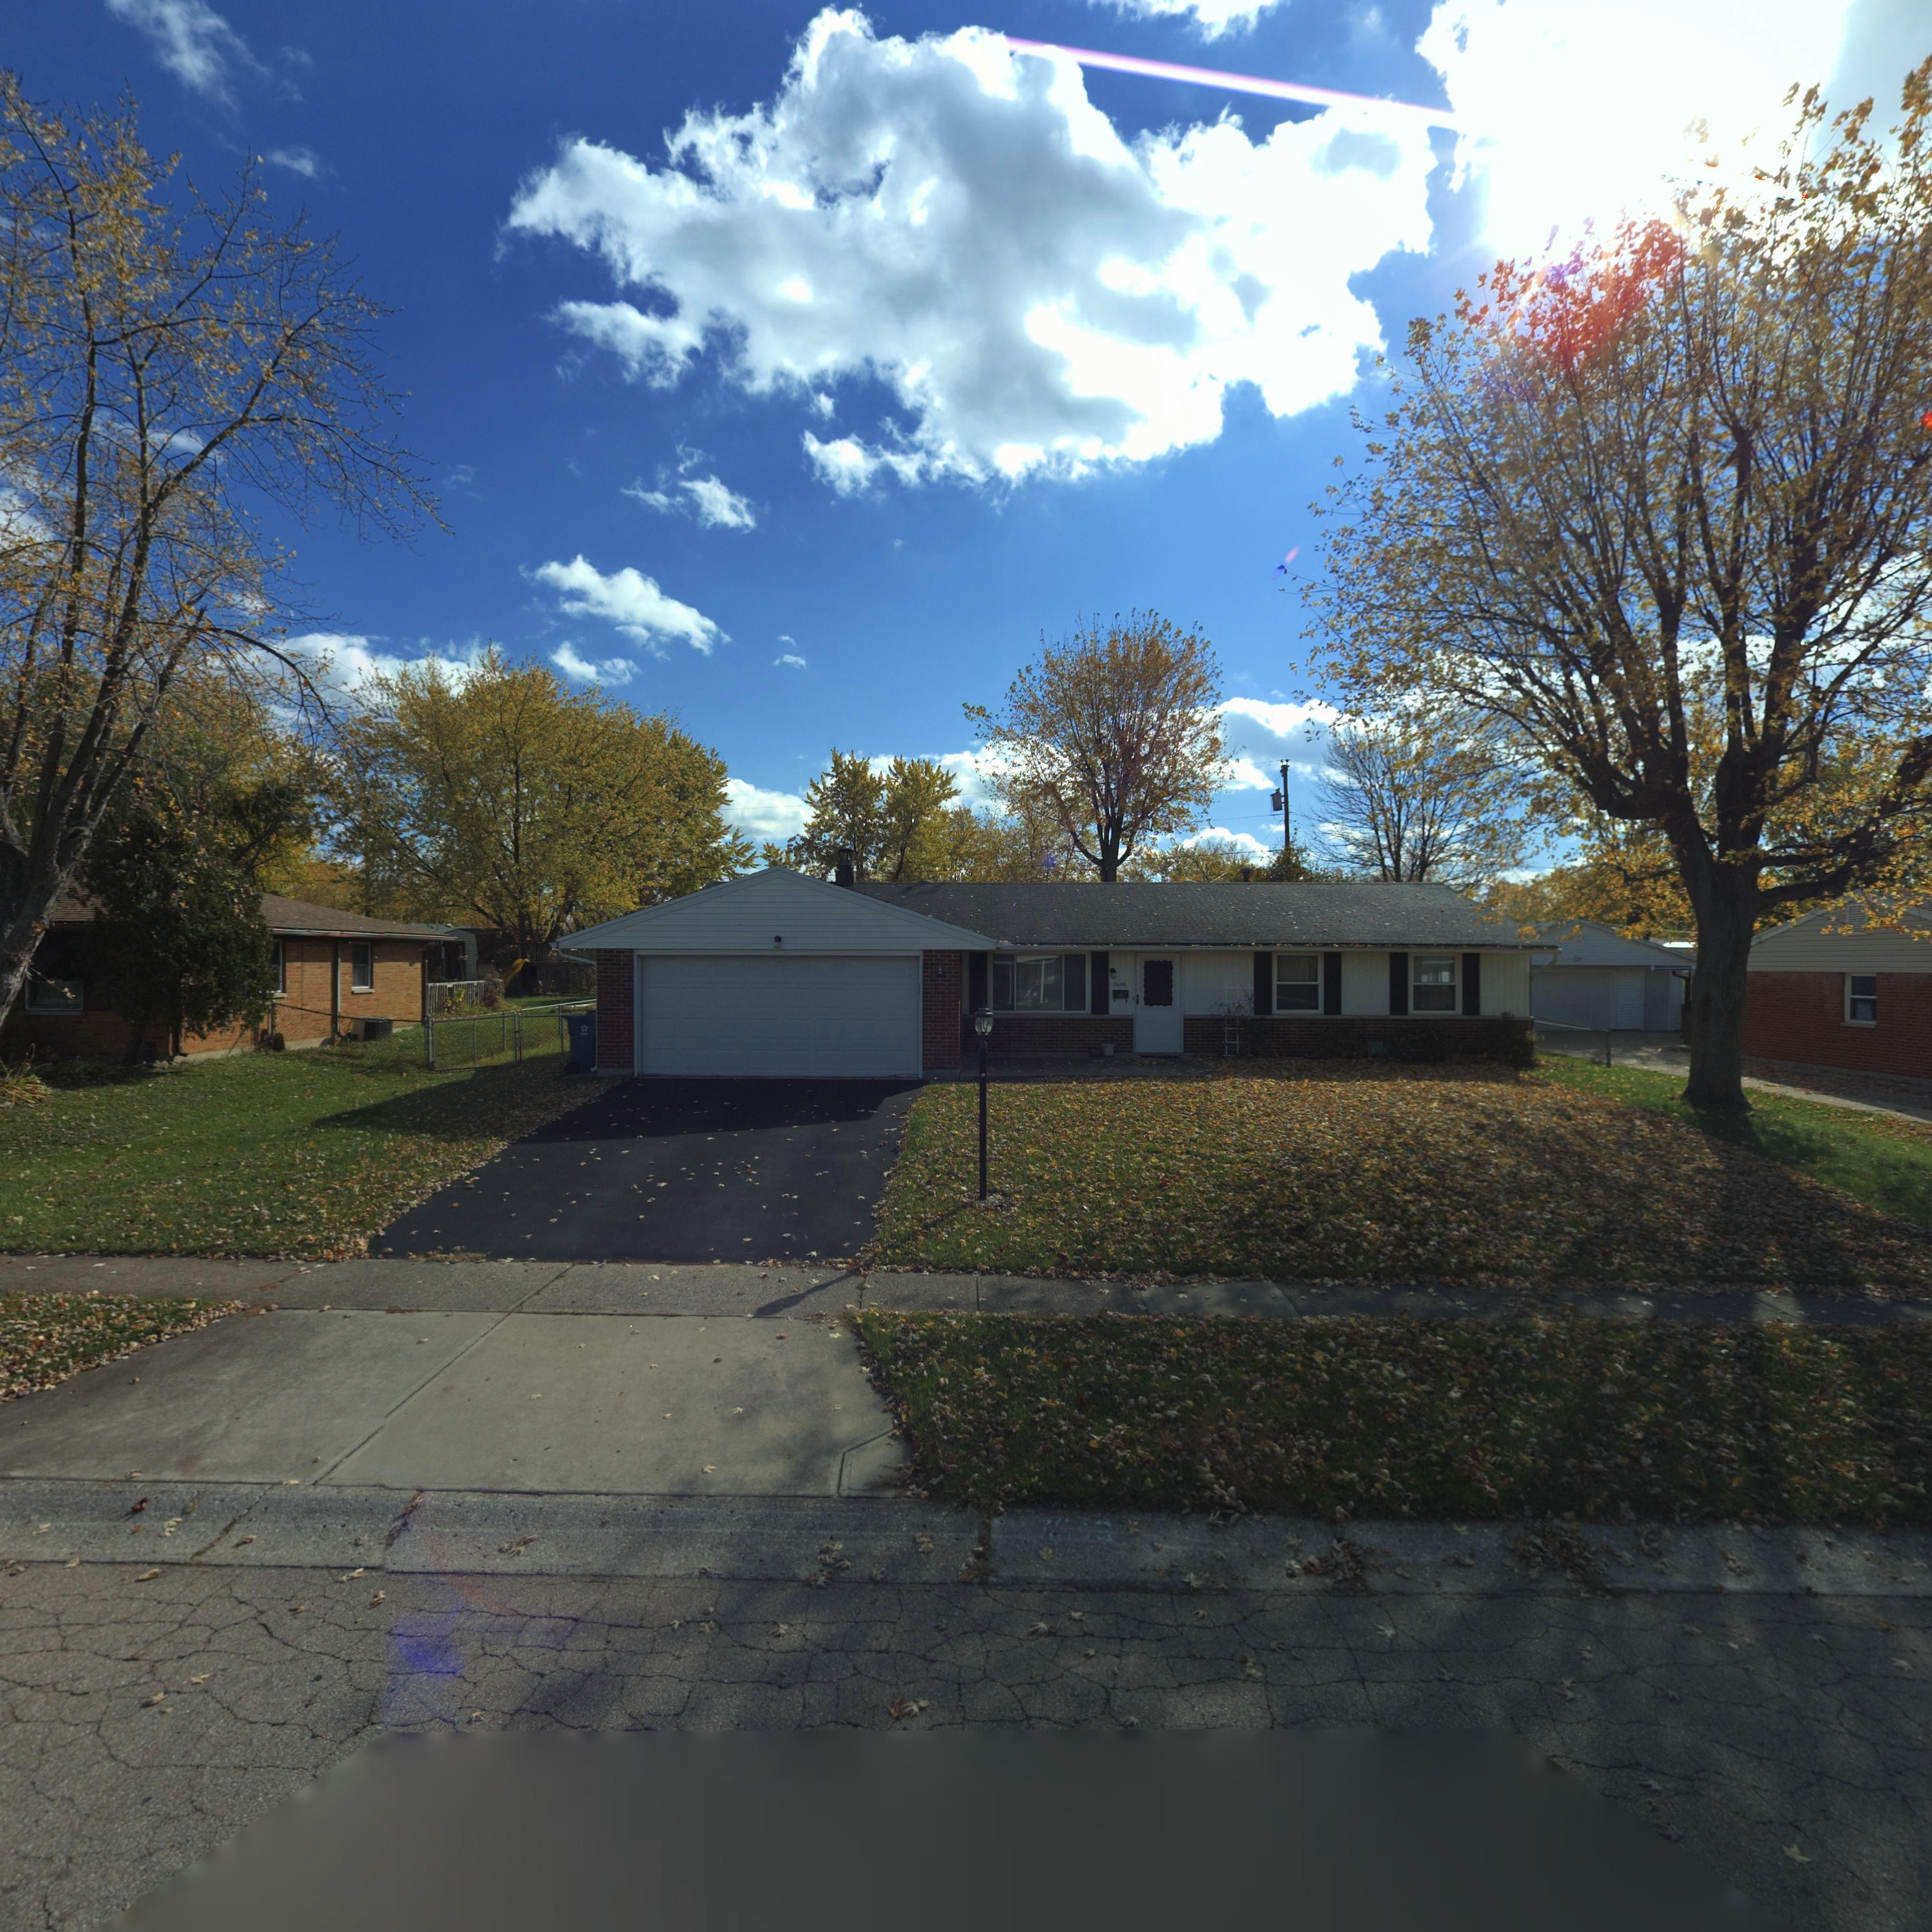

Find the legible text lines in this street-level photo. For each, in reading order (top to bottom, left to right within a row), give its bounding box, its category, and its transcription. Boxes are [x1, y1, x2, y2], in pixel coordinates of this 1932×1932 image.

[1113, 982, 1126, 987] StreetNumber: 7640
[1037, 1518, 1053, 1541] StreetNumber: 7